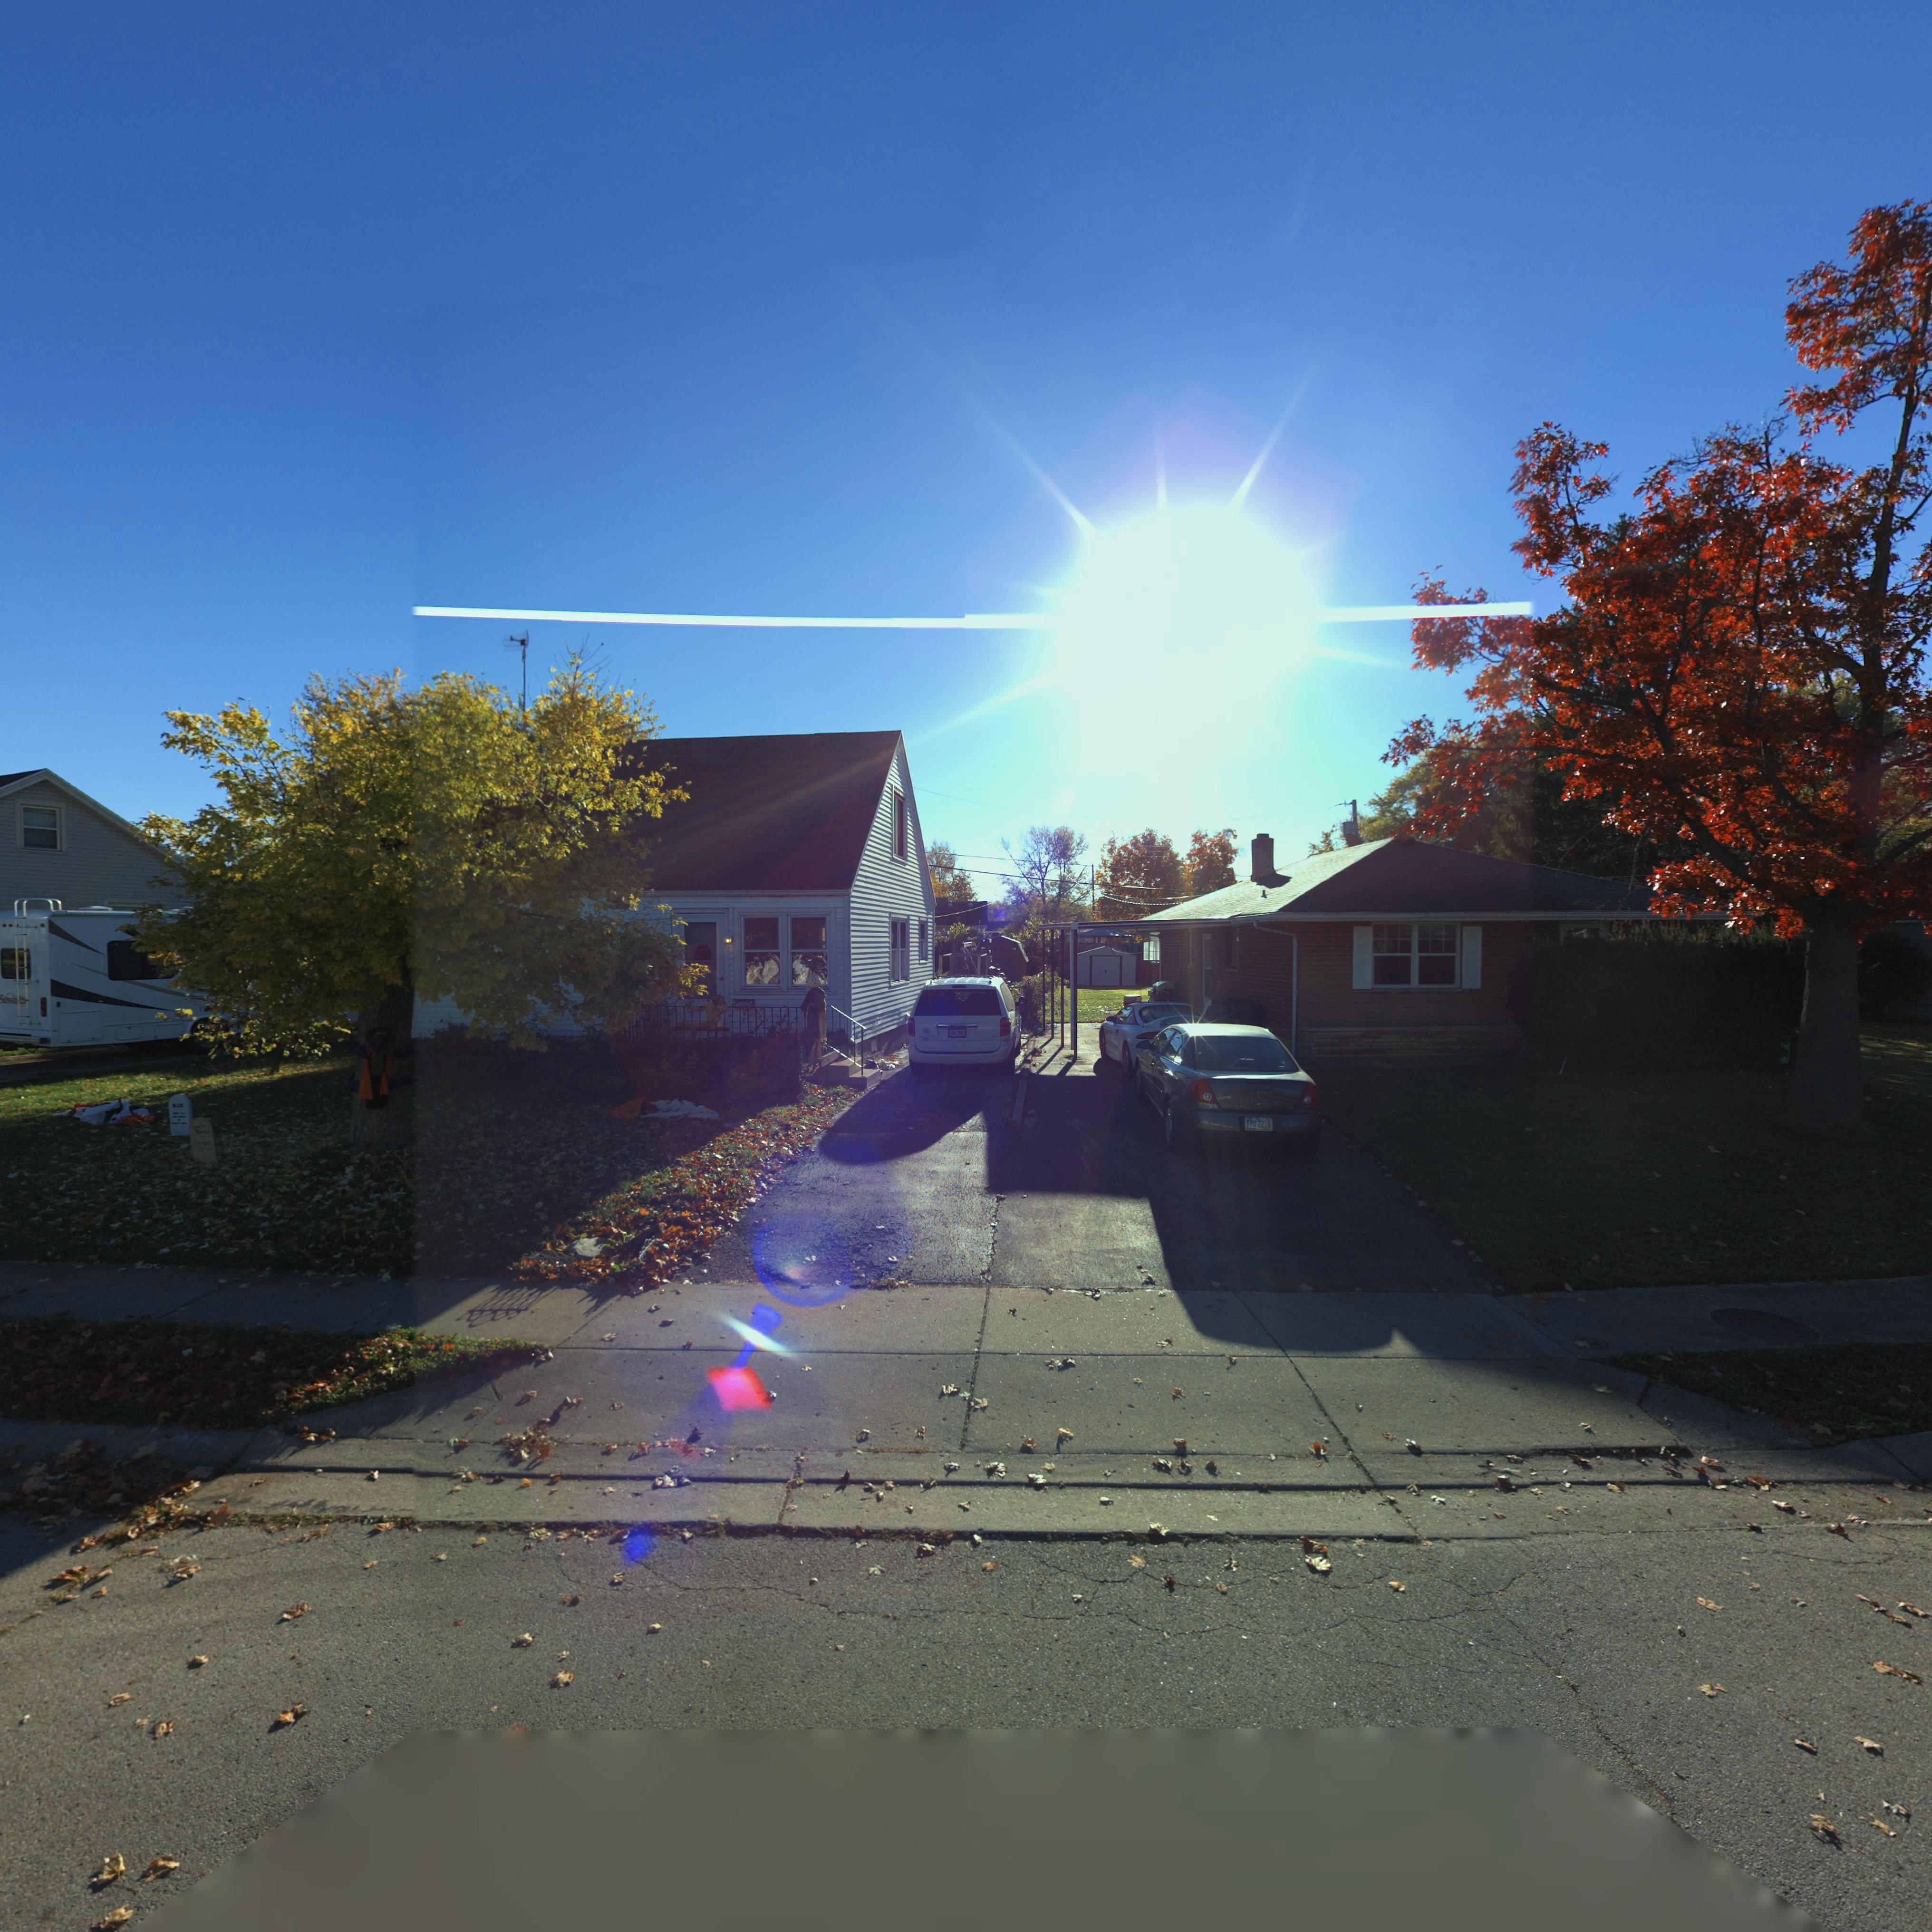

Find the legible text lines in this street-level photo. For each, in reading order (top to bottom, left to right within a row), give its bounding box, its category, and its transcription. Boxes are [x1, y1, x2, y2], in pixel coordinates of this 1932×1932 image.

[1531, 934, 1551, 943] StreetNumber: **12